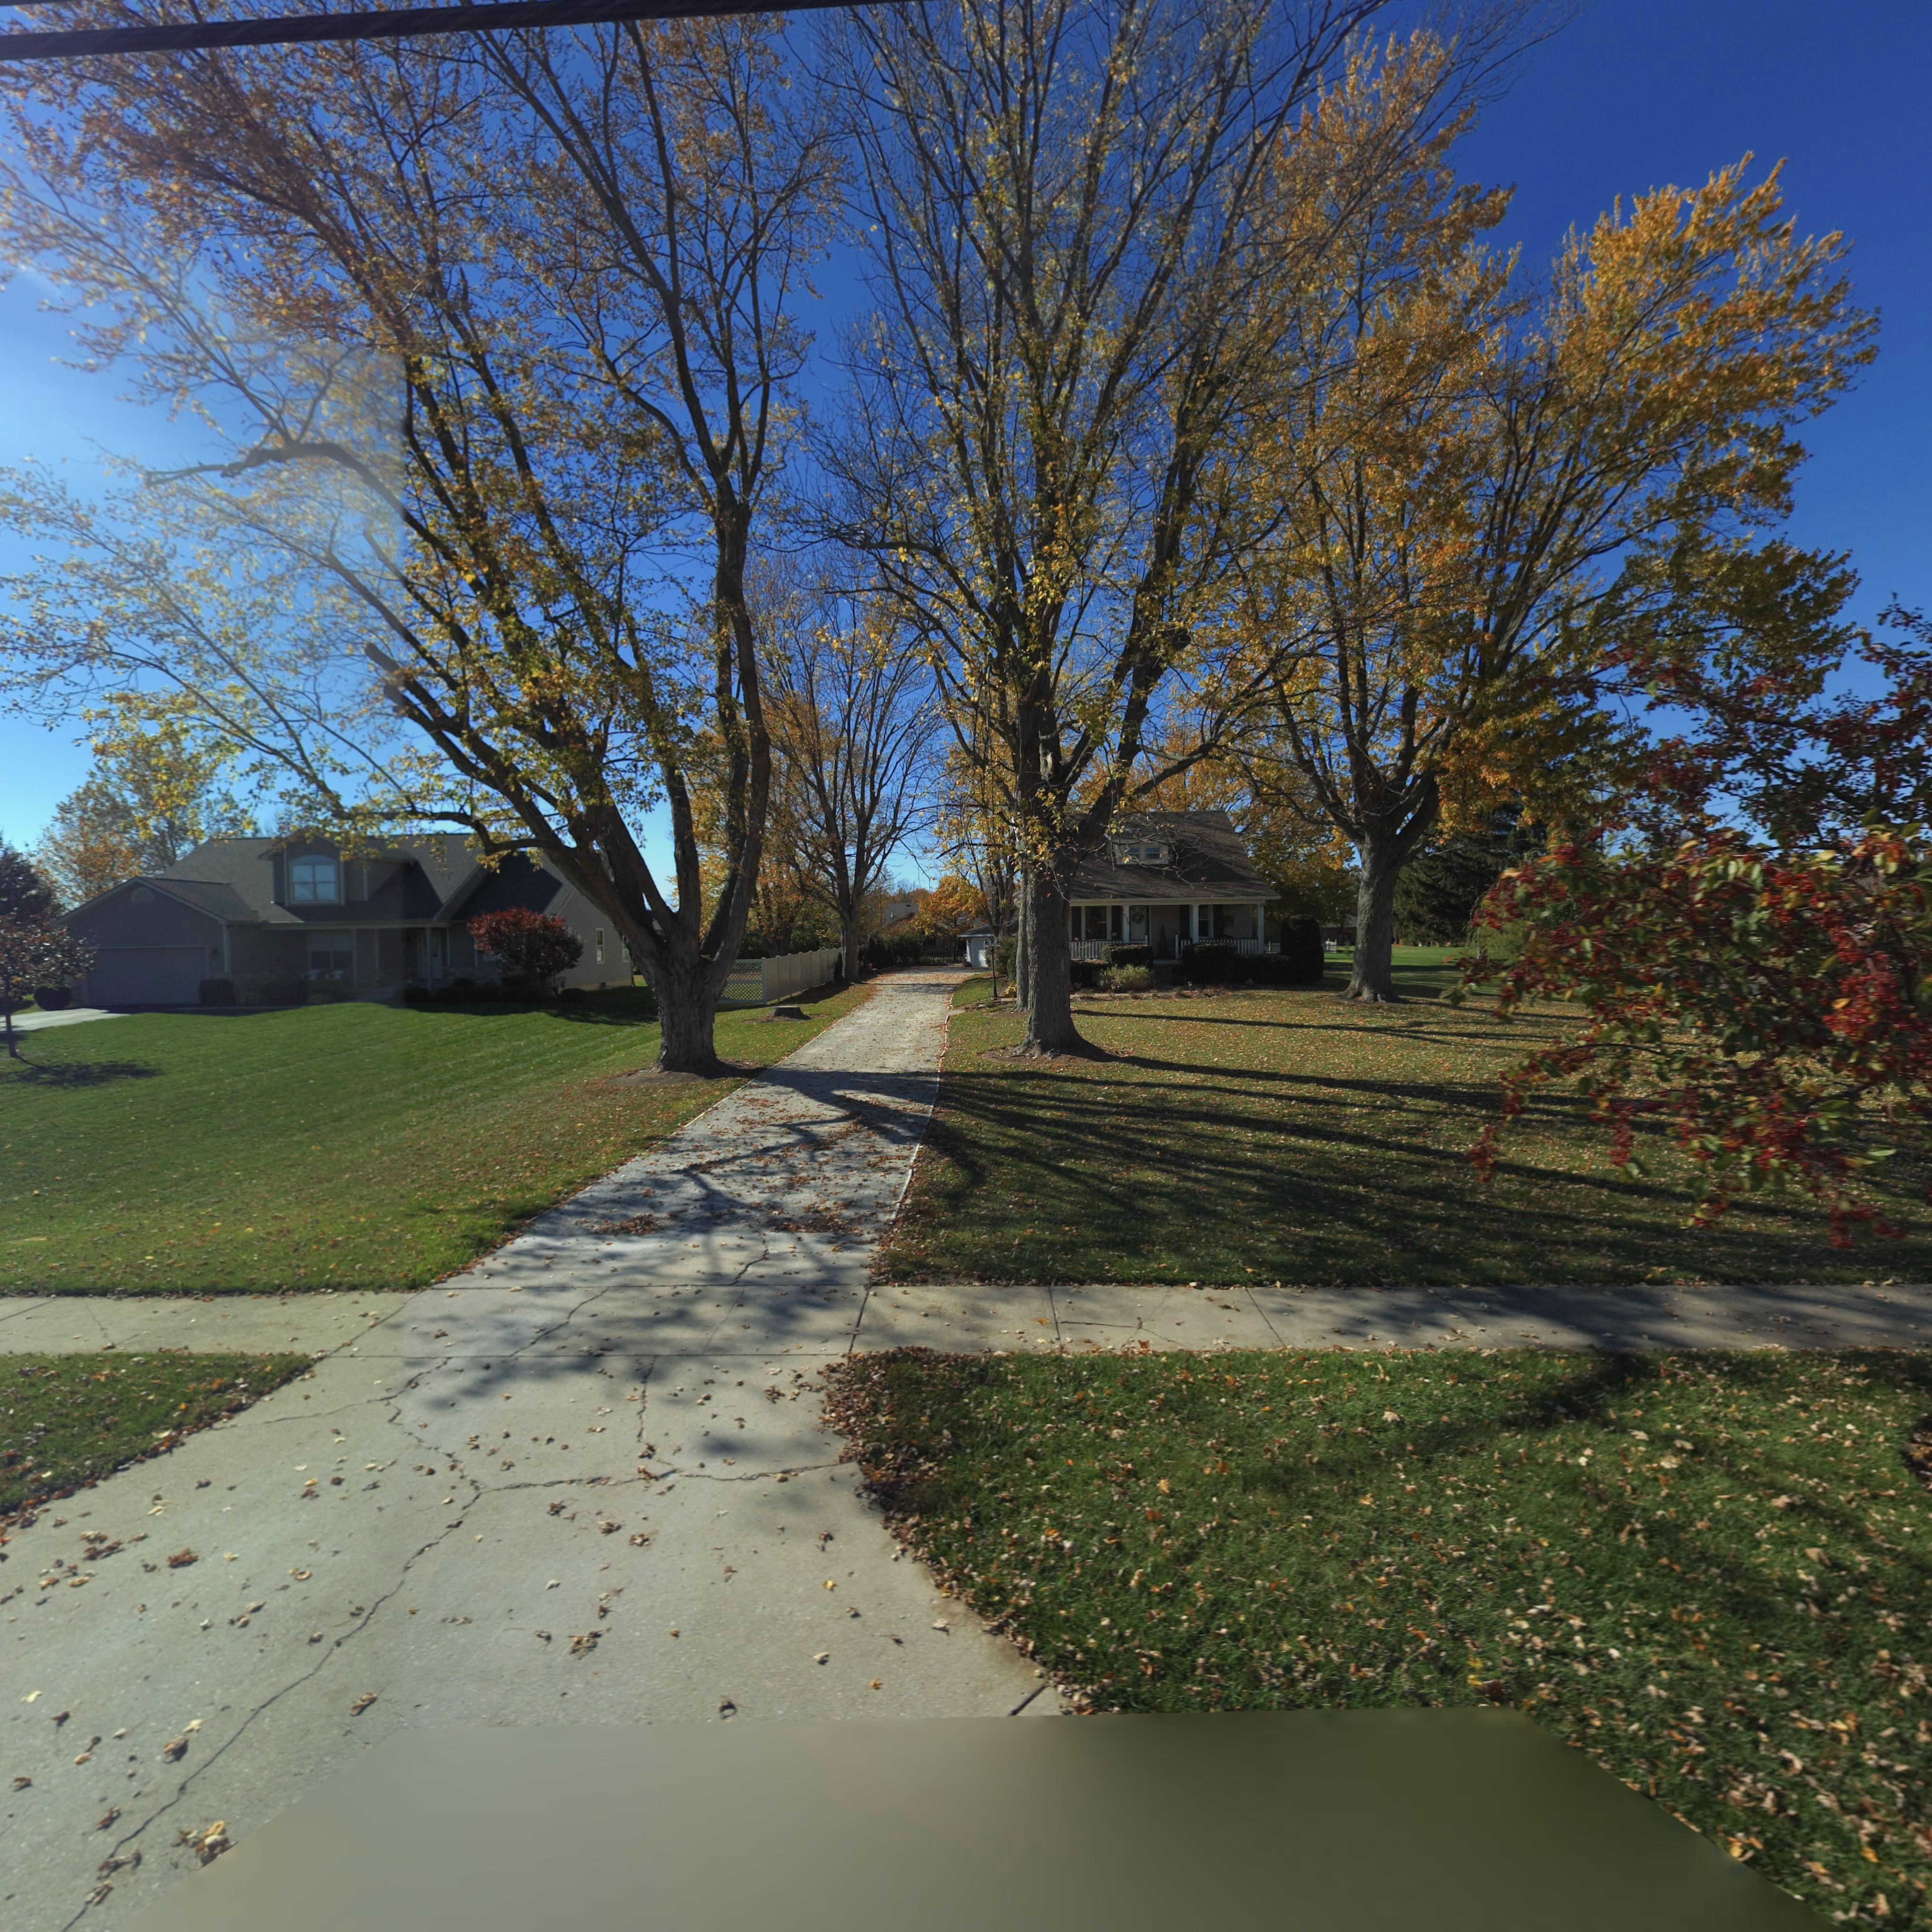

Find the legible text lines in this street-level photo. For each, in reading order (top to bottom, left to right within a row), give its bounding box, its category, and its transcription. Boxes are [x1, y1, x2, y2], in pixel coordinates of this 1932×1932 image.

[1122, 913, 1130, 927] StreetNumber: 775